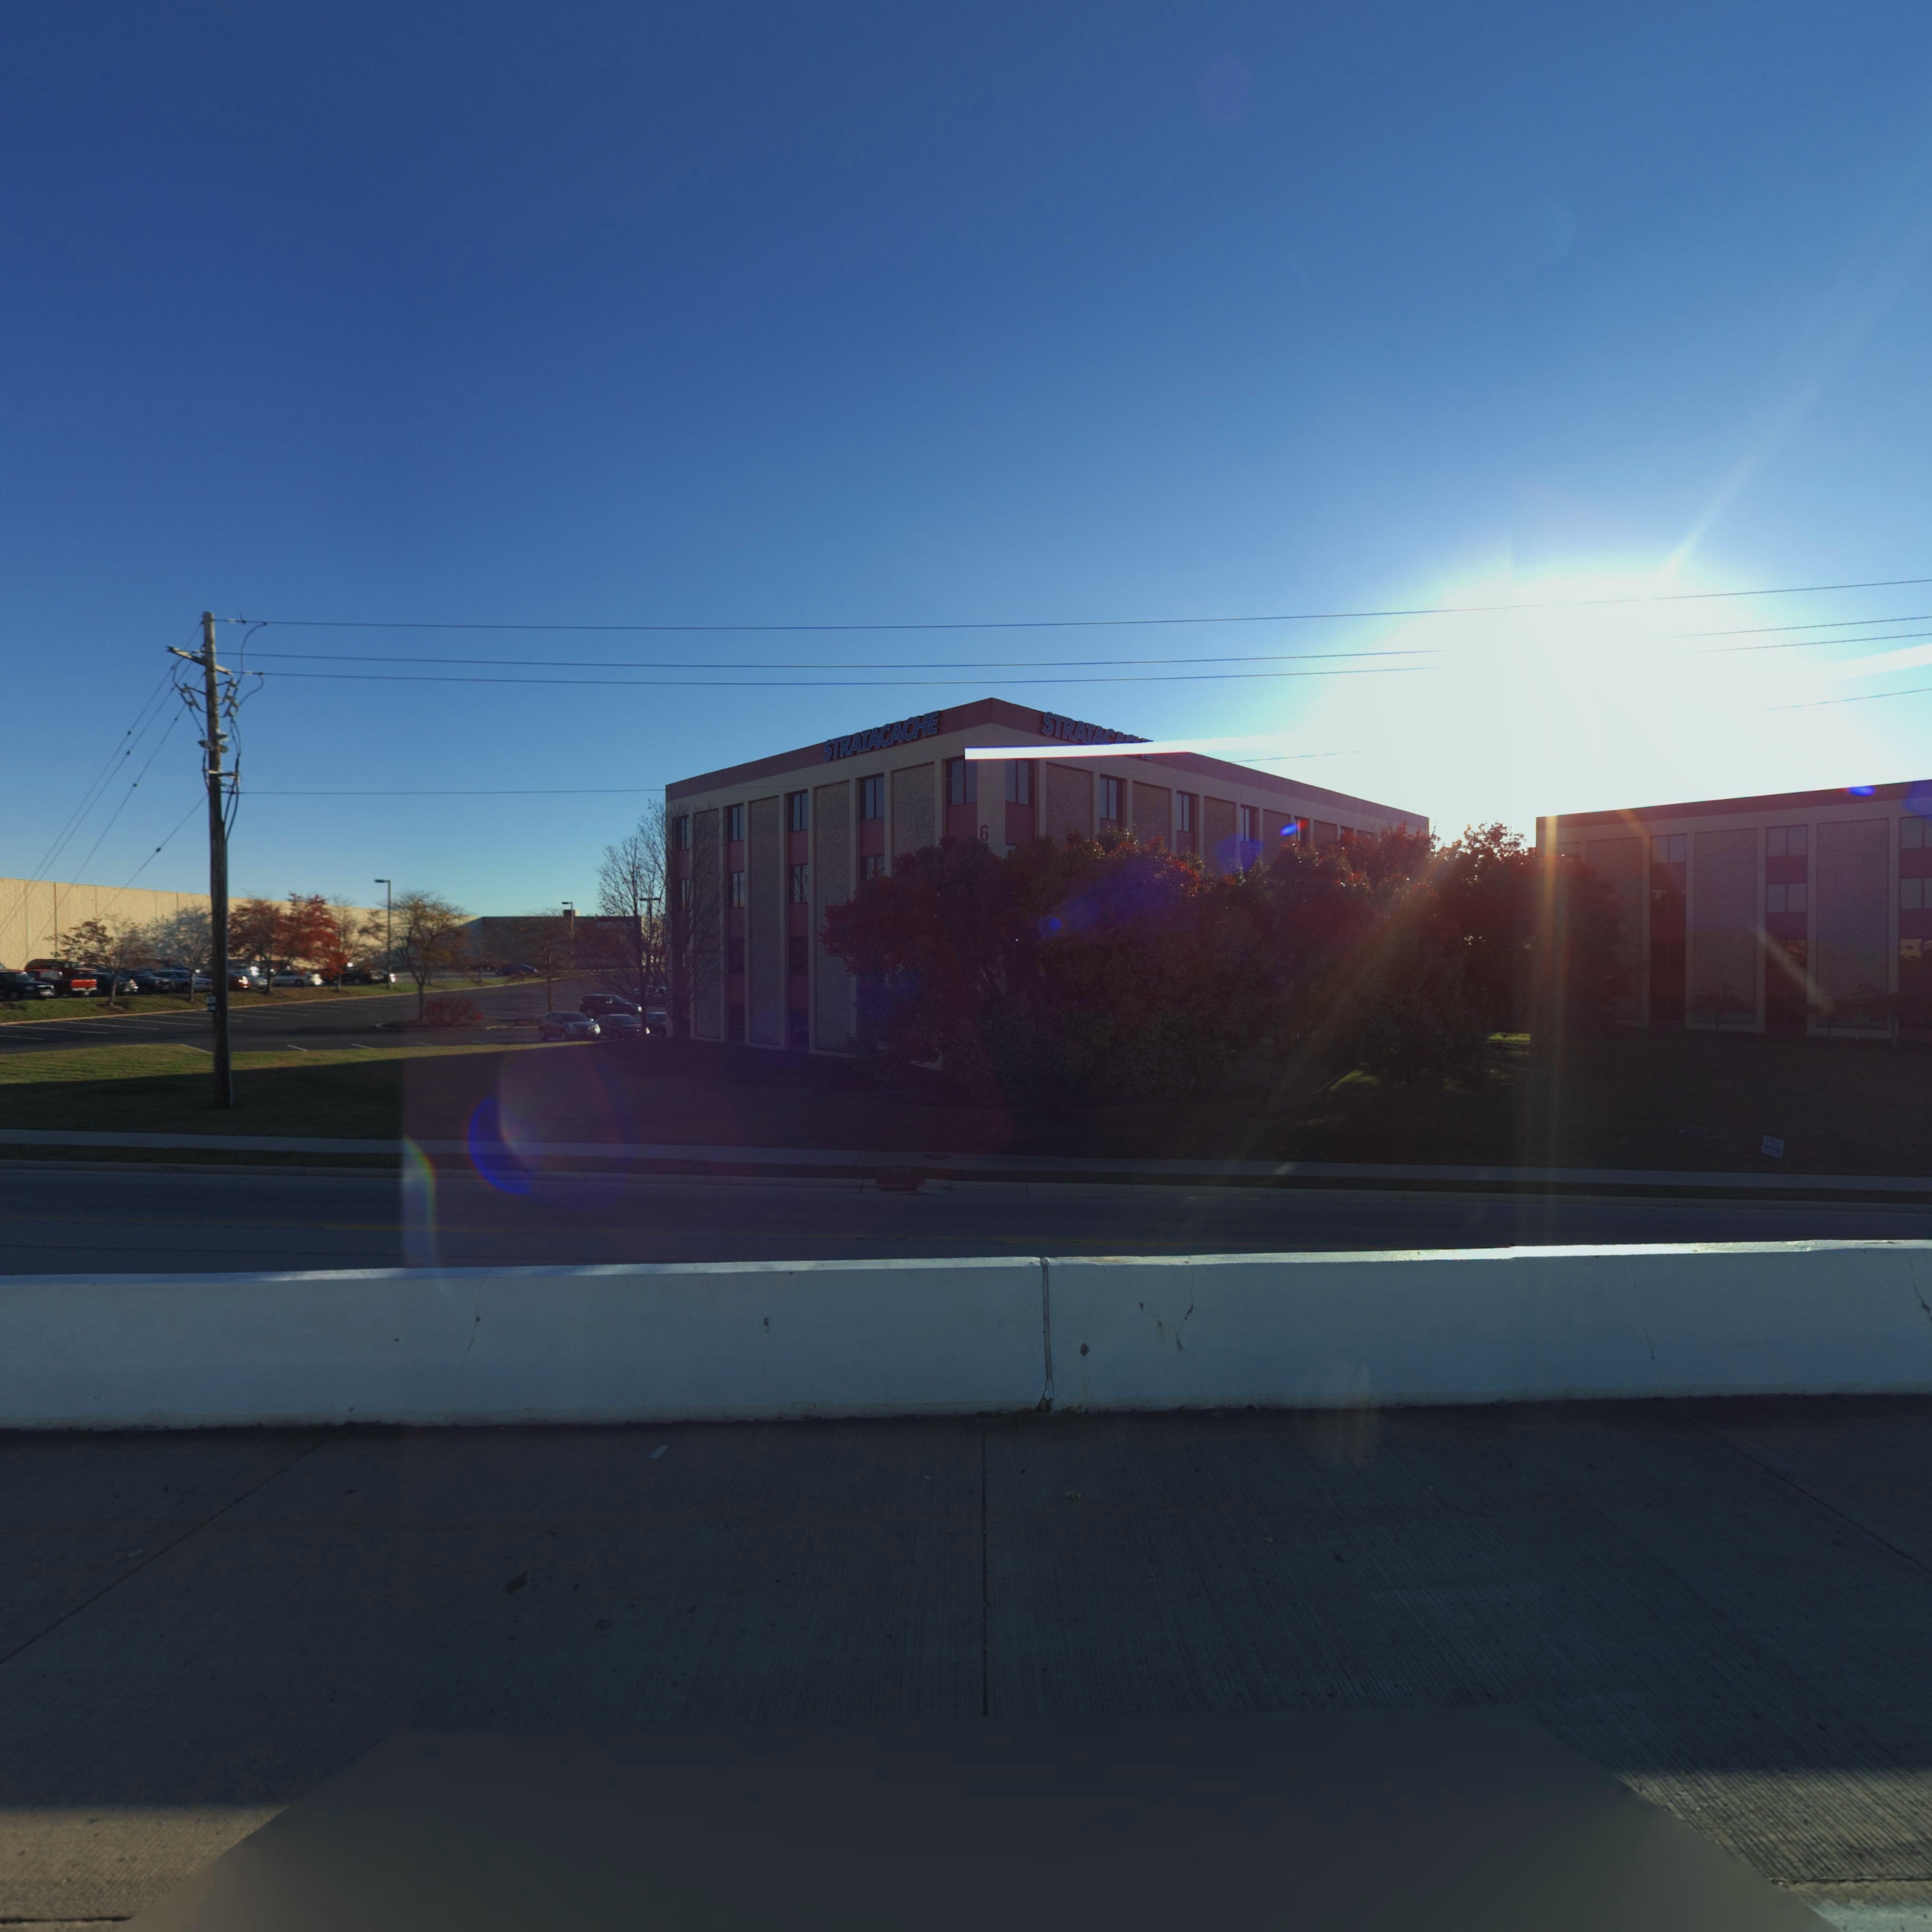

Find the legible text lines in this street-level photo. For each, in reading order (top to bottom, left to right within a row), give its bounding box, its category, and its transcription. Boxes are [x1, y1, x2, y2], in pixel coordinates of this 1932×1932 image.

[819, 706, 942, 765] BusinessName: STRATACACHCE
[1036, 706, 1140, 763] BusinessName: STRATAC**
[979, 823, 990, 843] StreetNumber: 6